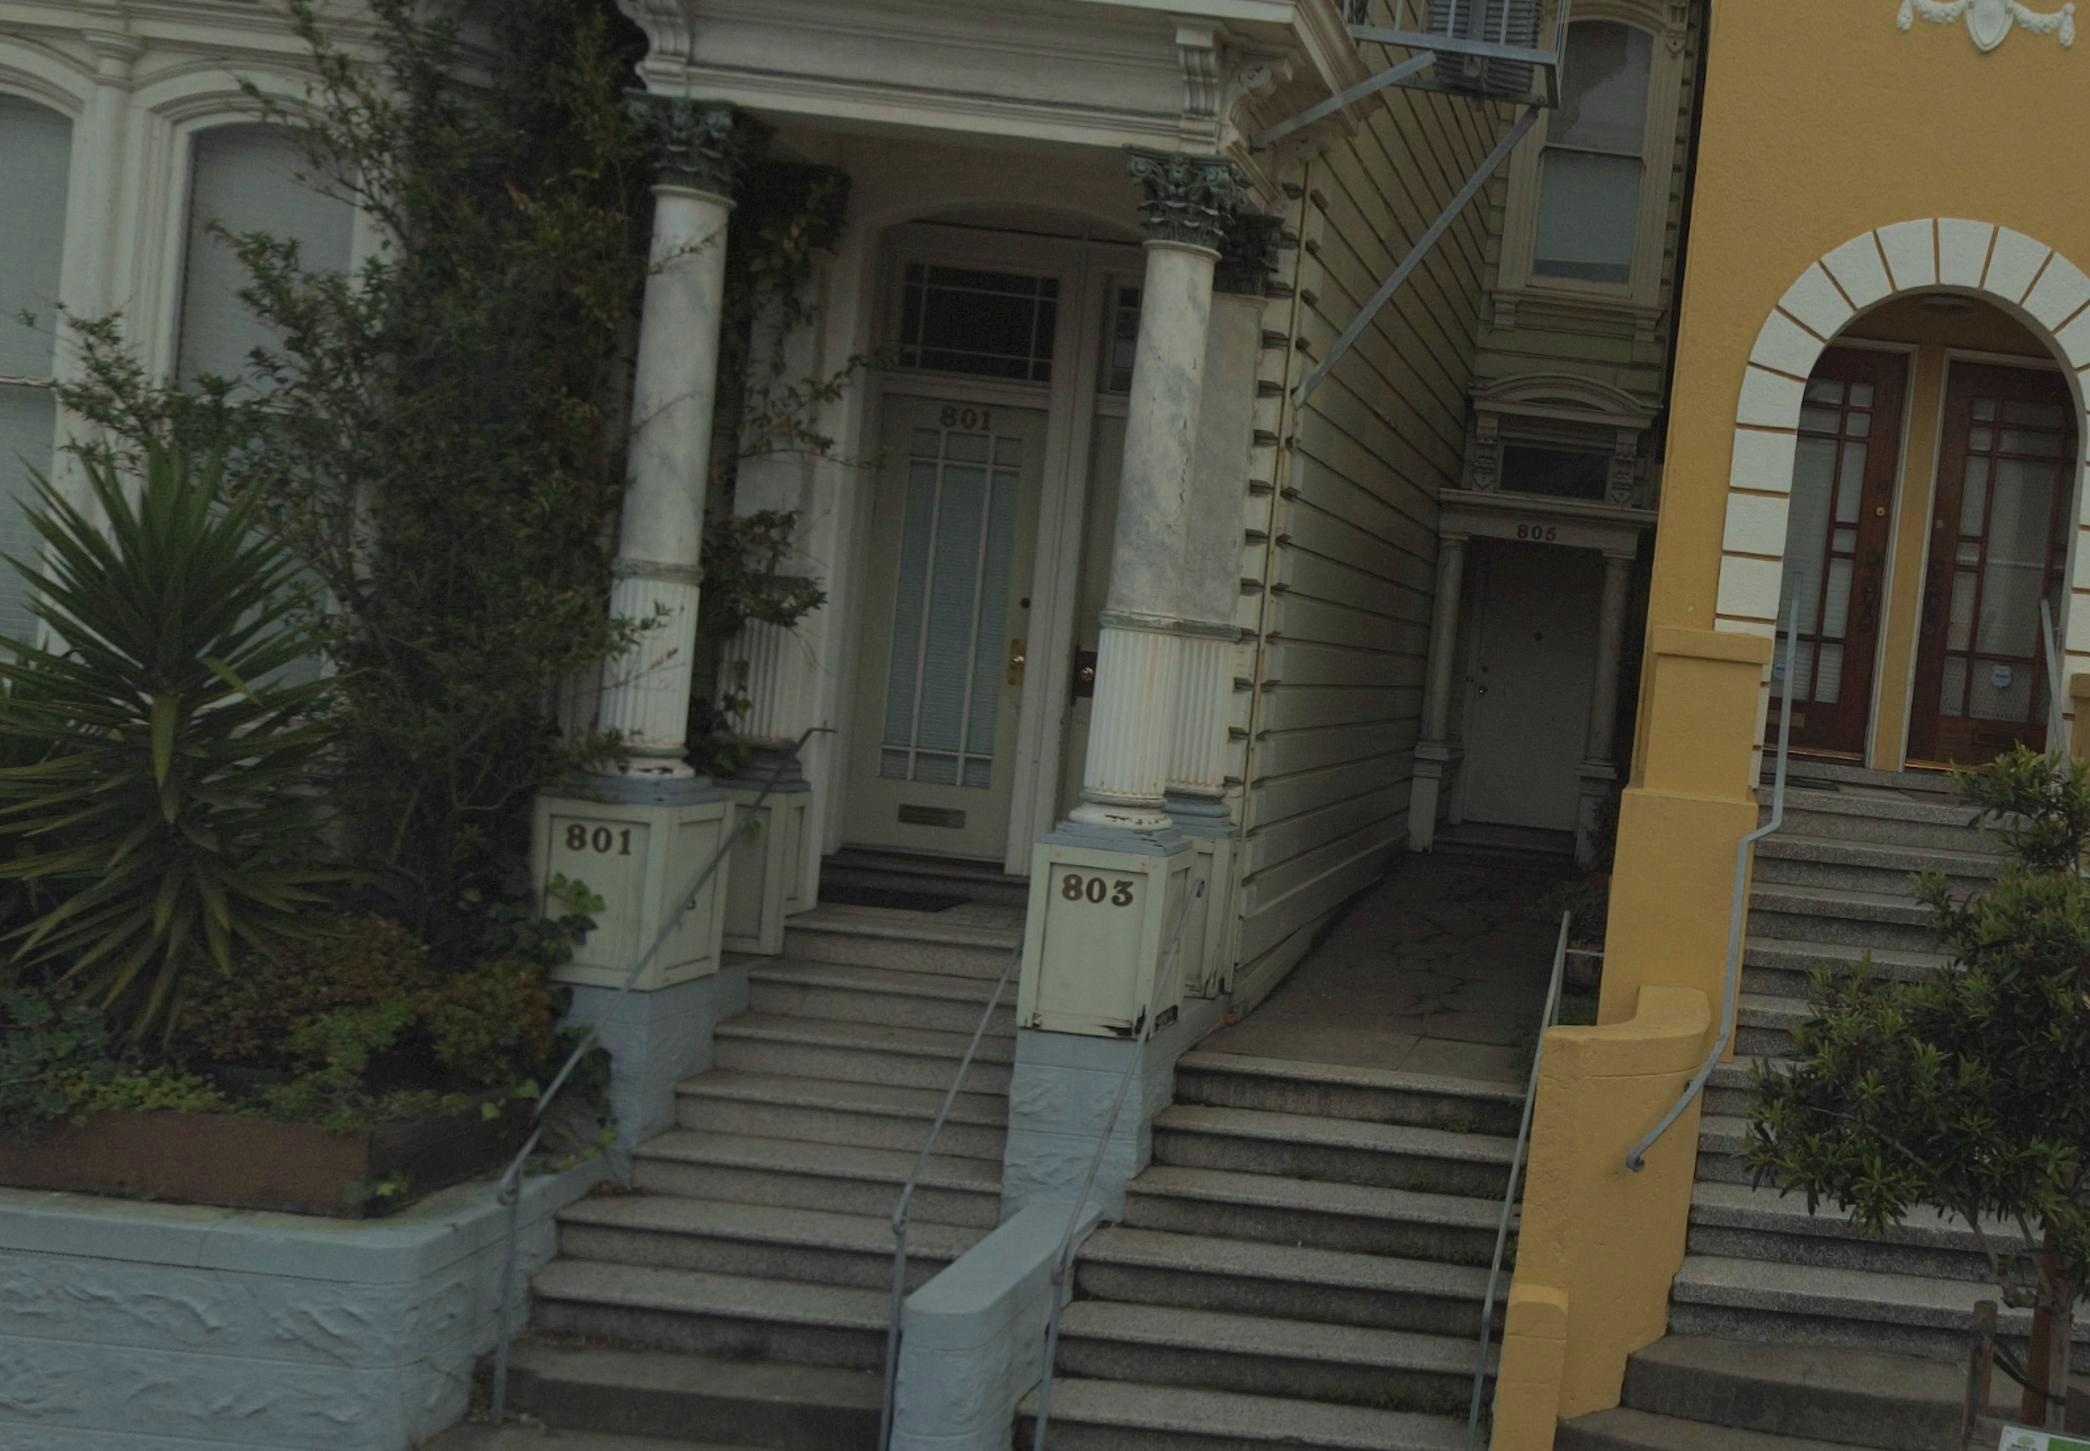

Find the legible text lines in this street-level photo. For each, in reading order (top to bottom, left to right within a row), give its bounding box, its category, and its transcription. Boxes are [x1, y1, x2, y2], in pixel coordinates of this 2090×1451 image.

[937, 403, 992, 433] StreetNumber: 801
[1515, 521, 1559, 544] StreetNumber: 805
[563, 822, 634, 858] StreetNumber: 801
[1058, 869, 1135, 909] StreetNumber: 803